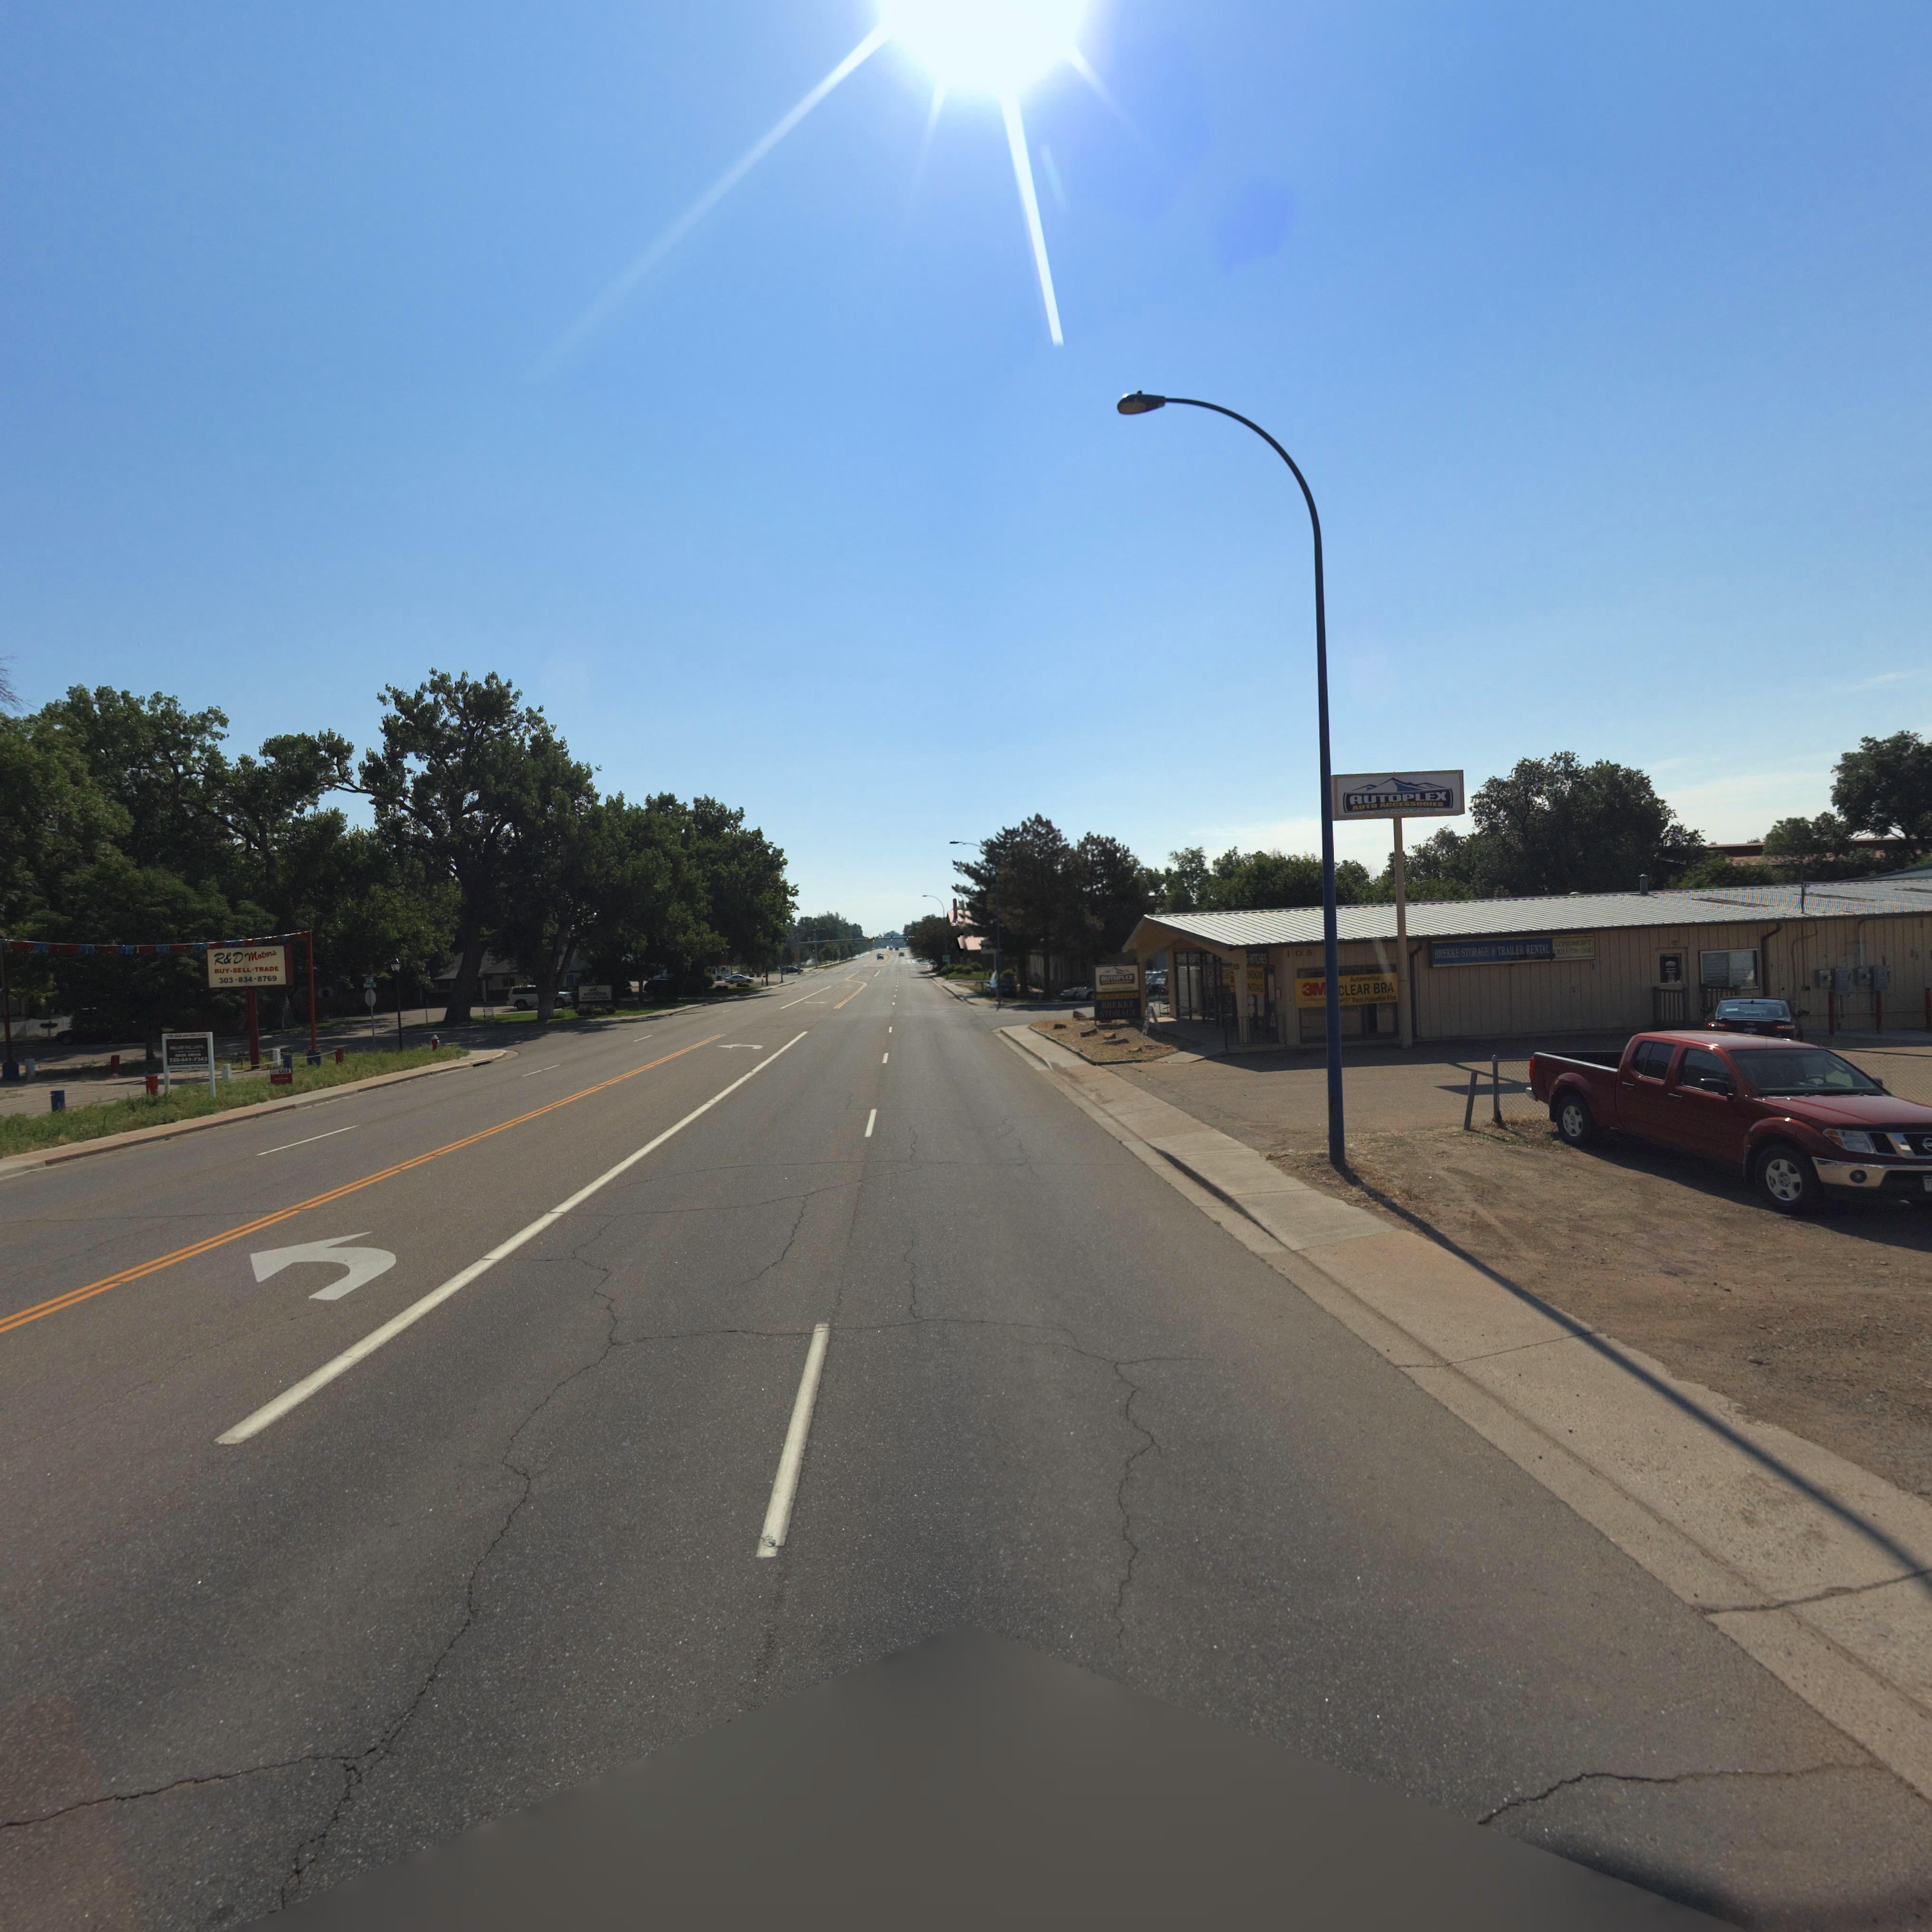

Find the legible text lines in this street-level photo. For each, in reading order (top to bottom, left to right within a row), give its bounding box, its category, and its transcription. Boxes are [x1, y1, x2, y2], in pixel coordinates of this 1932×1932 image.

[1349, 790, 1447, 805] BusinessName: AUTOPLEX
[1352, 801, 1444, 810] BusinessName: AUTO ACCESSORIES
[213, 950, 278, 966] BusinessName: R&D Motors
[1286, 949, 1313, 957] StreetNumber: 105
[1434, 943, 1550, 959] BusinessName: BREKKE STORAGE & TRAILER RENTAL
[1100, 974, 1132, 982] BusinessName: AUTOPLEX
[1101, 1000, 1135, 1009] BusinessName: BREKKE
[1099, 1008, 1138, 1018] BusinessName: STORAGE